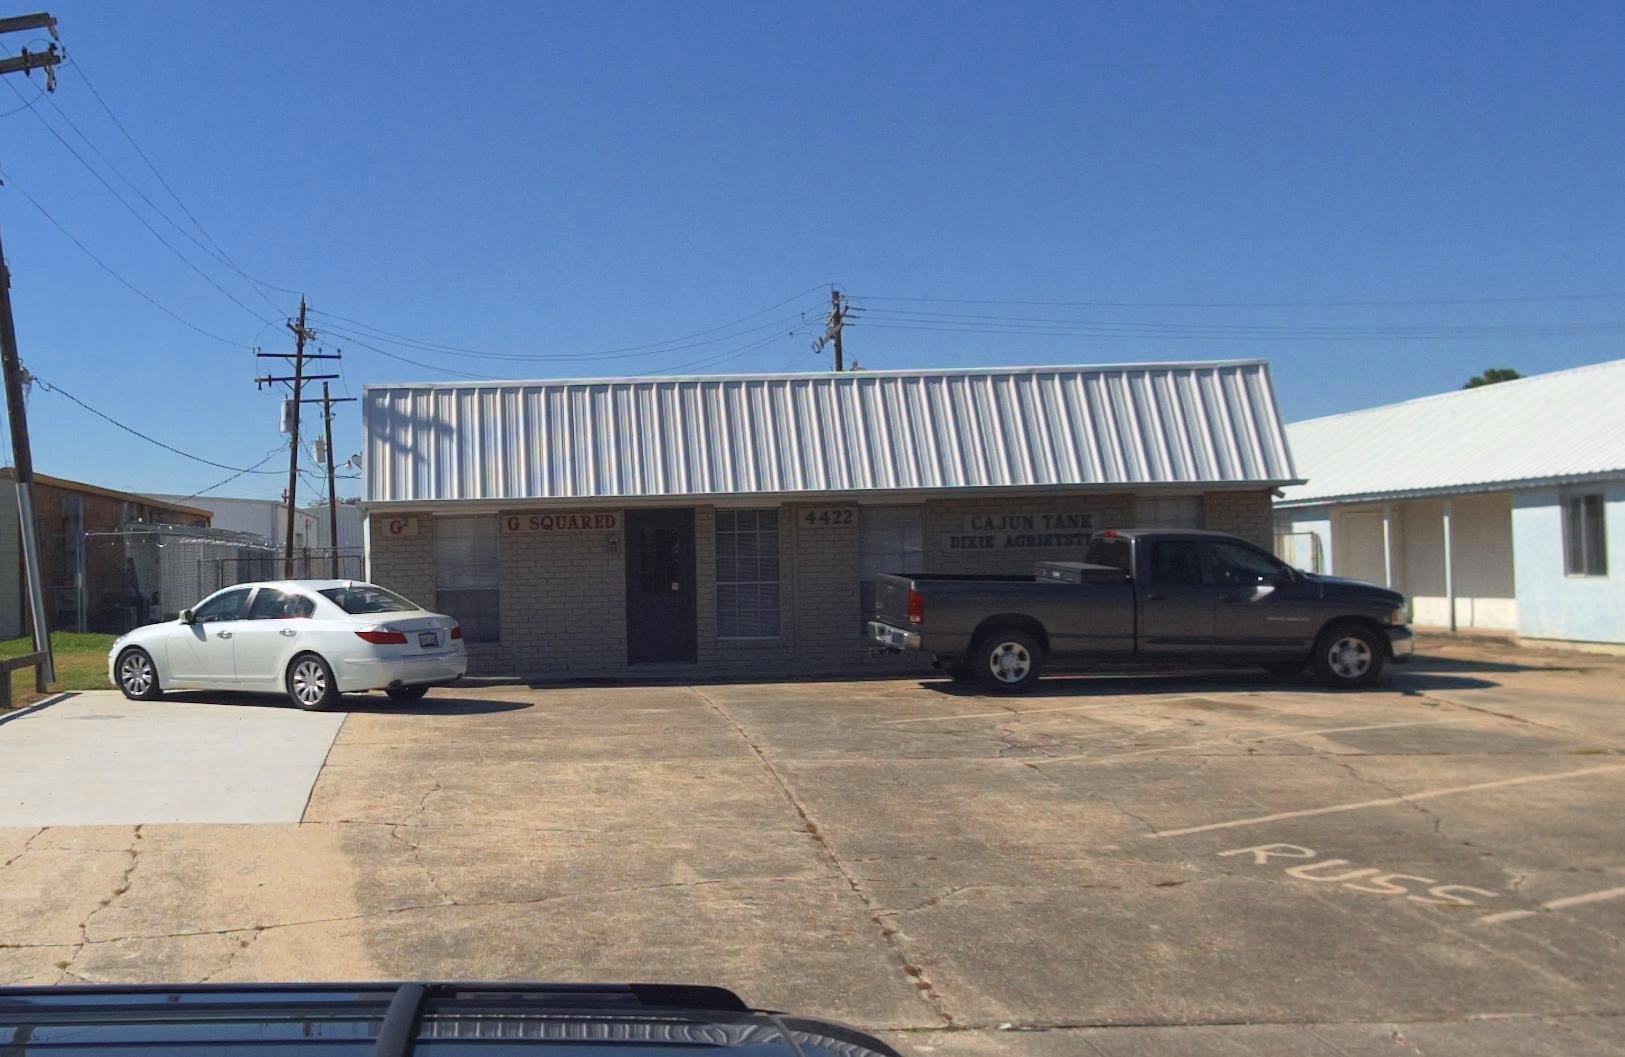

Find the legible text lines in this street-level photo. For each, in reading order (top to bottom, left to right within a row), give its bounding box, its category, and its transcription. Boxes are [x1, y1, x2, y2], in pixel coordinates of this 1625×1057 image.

[386, 518, 405, 538] None: G
[401, 515, 411, 529] None: 2
[504, 512, 619, 534] None: G SQUARED
[800, 506, 856, 527] StreetNumber: 4422
[968, 511, 1096, 534] BusinessName: CAJUN TANK
[947, 531, 1087, 551] BusinessName: DIXIE AGRISYST
[1211, 837, 1507, 914] None: RUSS